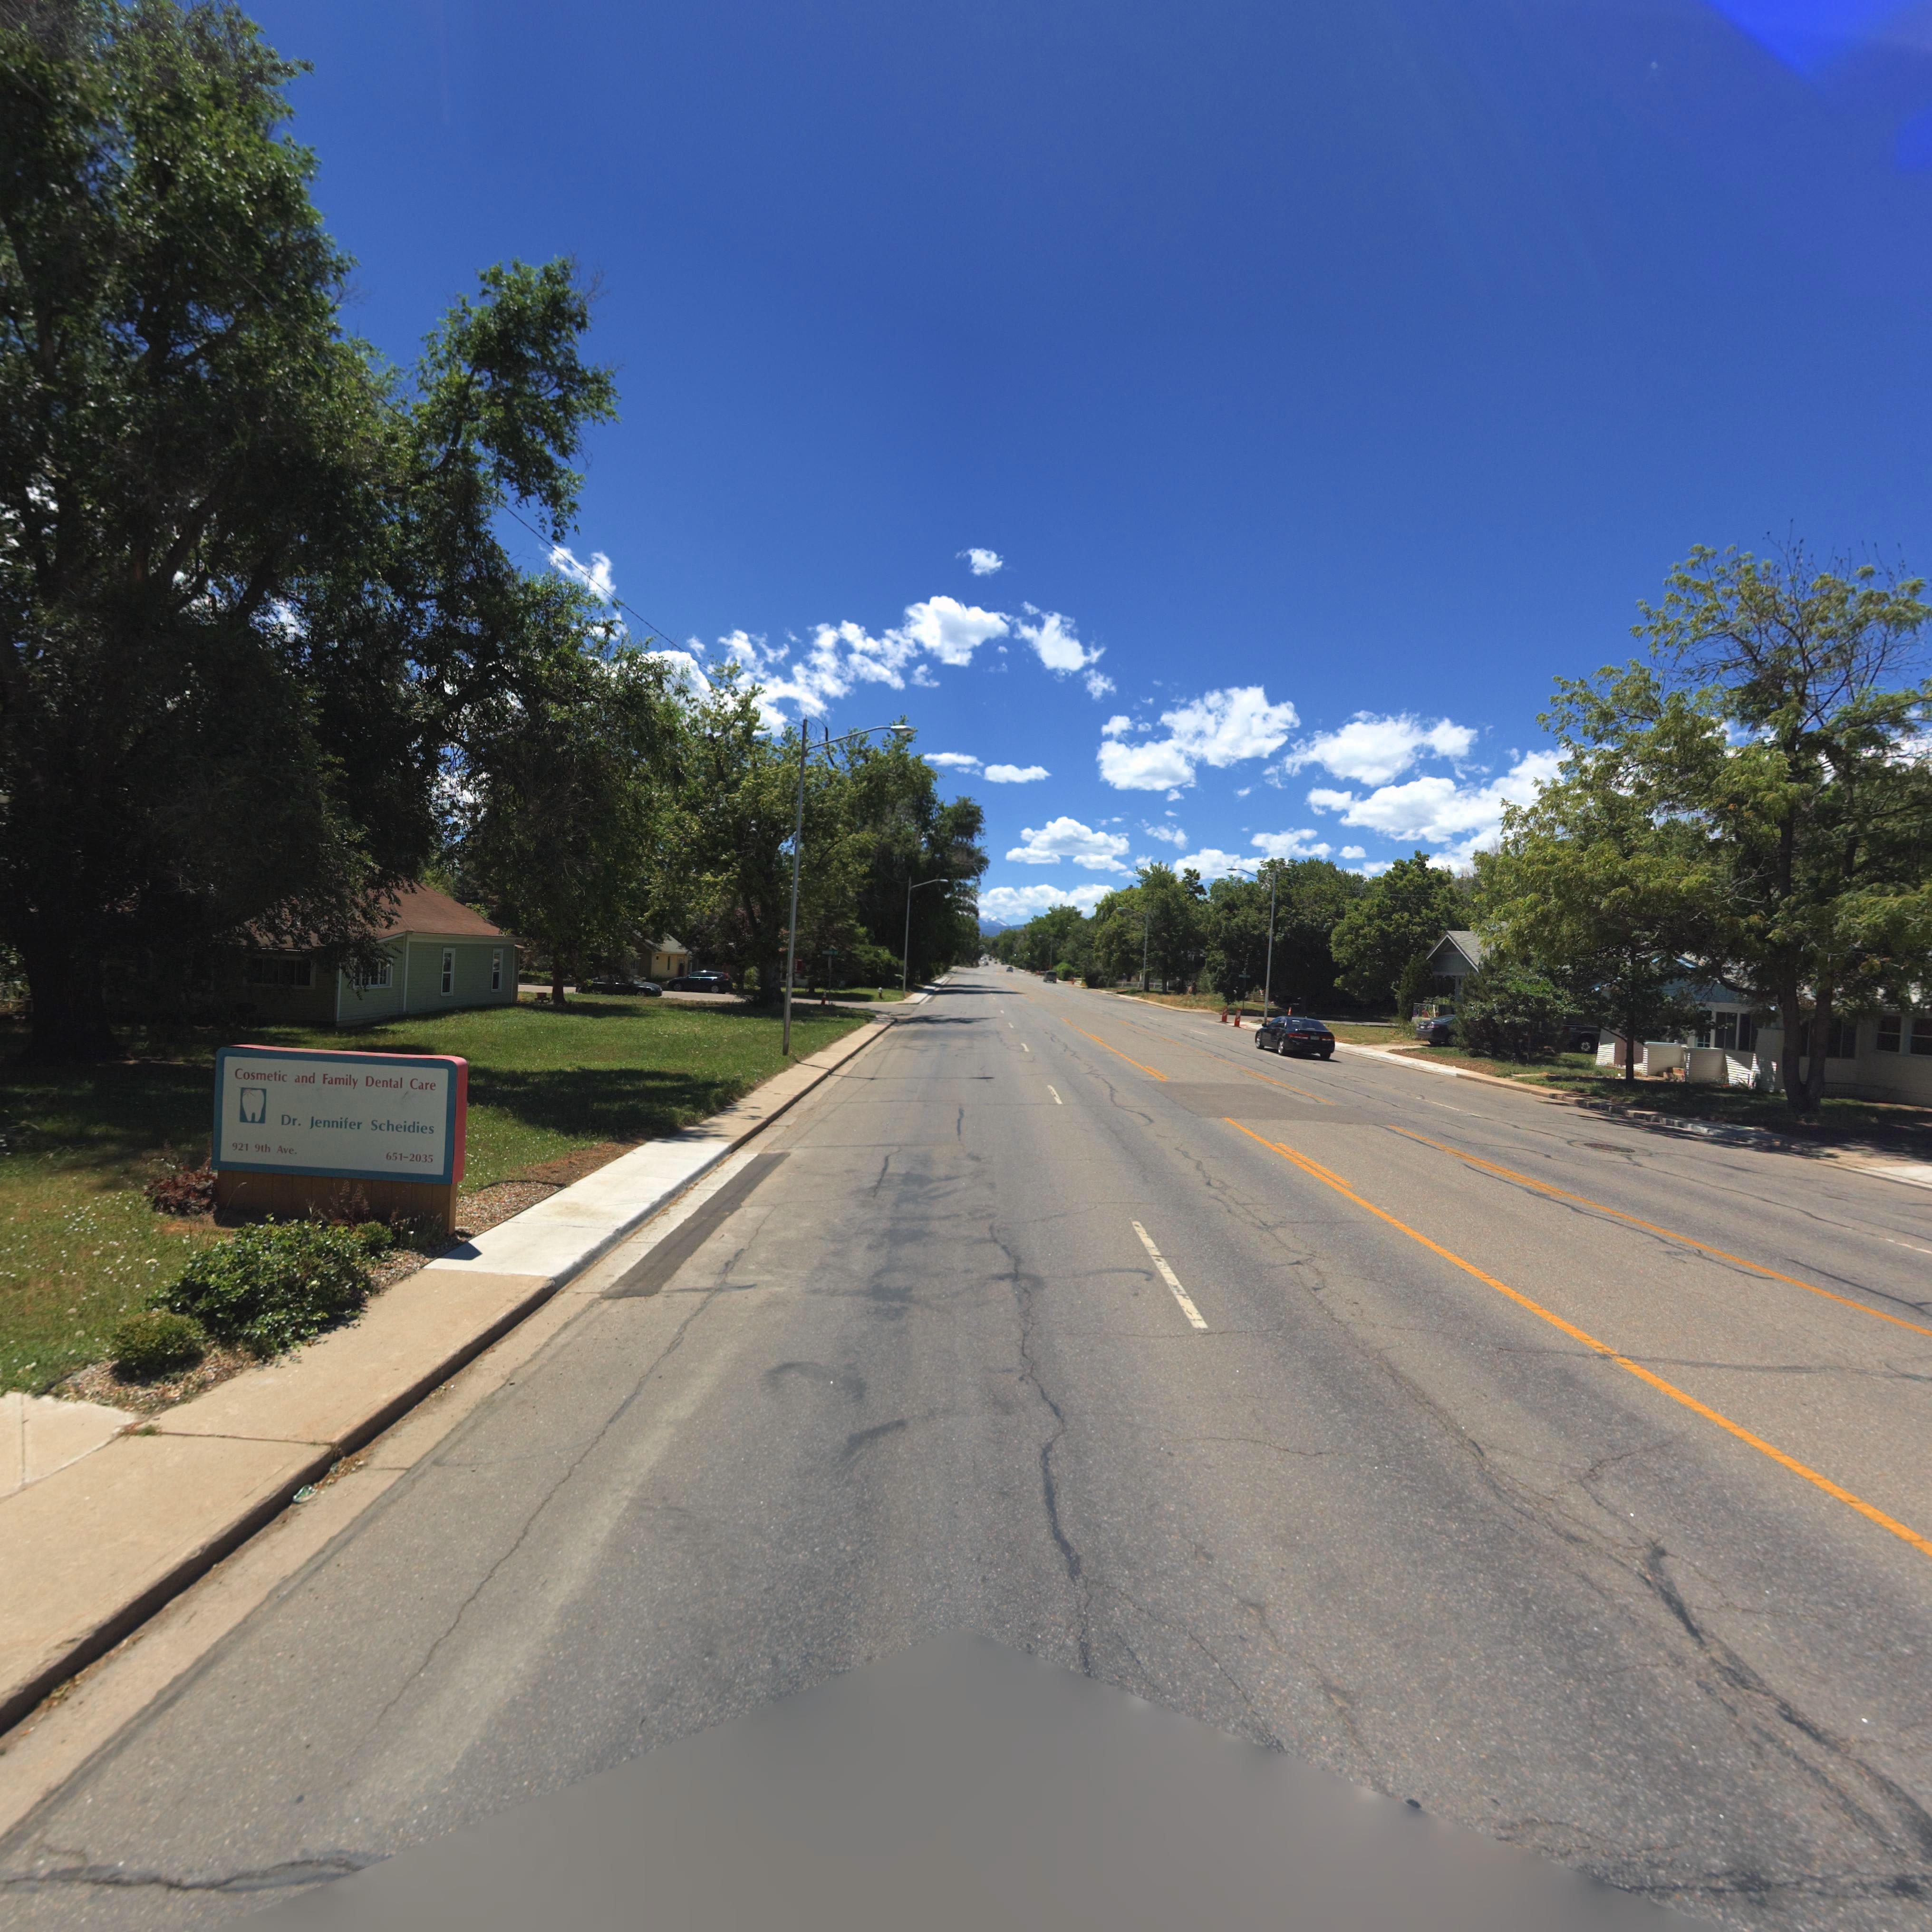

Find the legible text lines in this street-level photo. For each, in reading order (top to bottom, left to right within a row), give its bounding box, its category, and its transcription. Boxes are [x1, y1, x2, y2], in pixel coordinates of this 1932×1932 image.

[280, 1113, 435, 1135] BusinessName: Dr. Jennifer Schneidies
[231, 1141, 248, 1152] StreetNumber: 921
[254, 1142, 298, 1155] StreetName: 9th Ave.